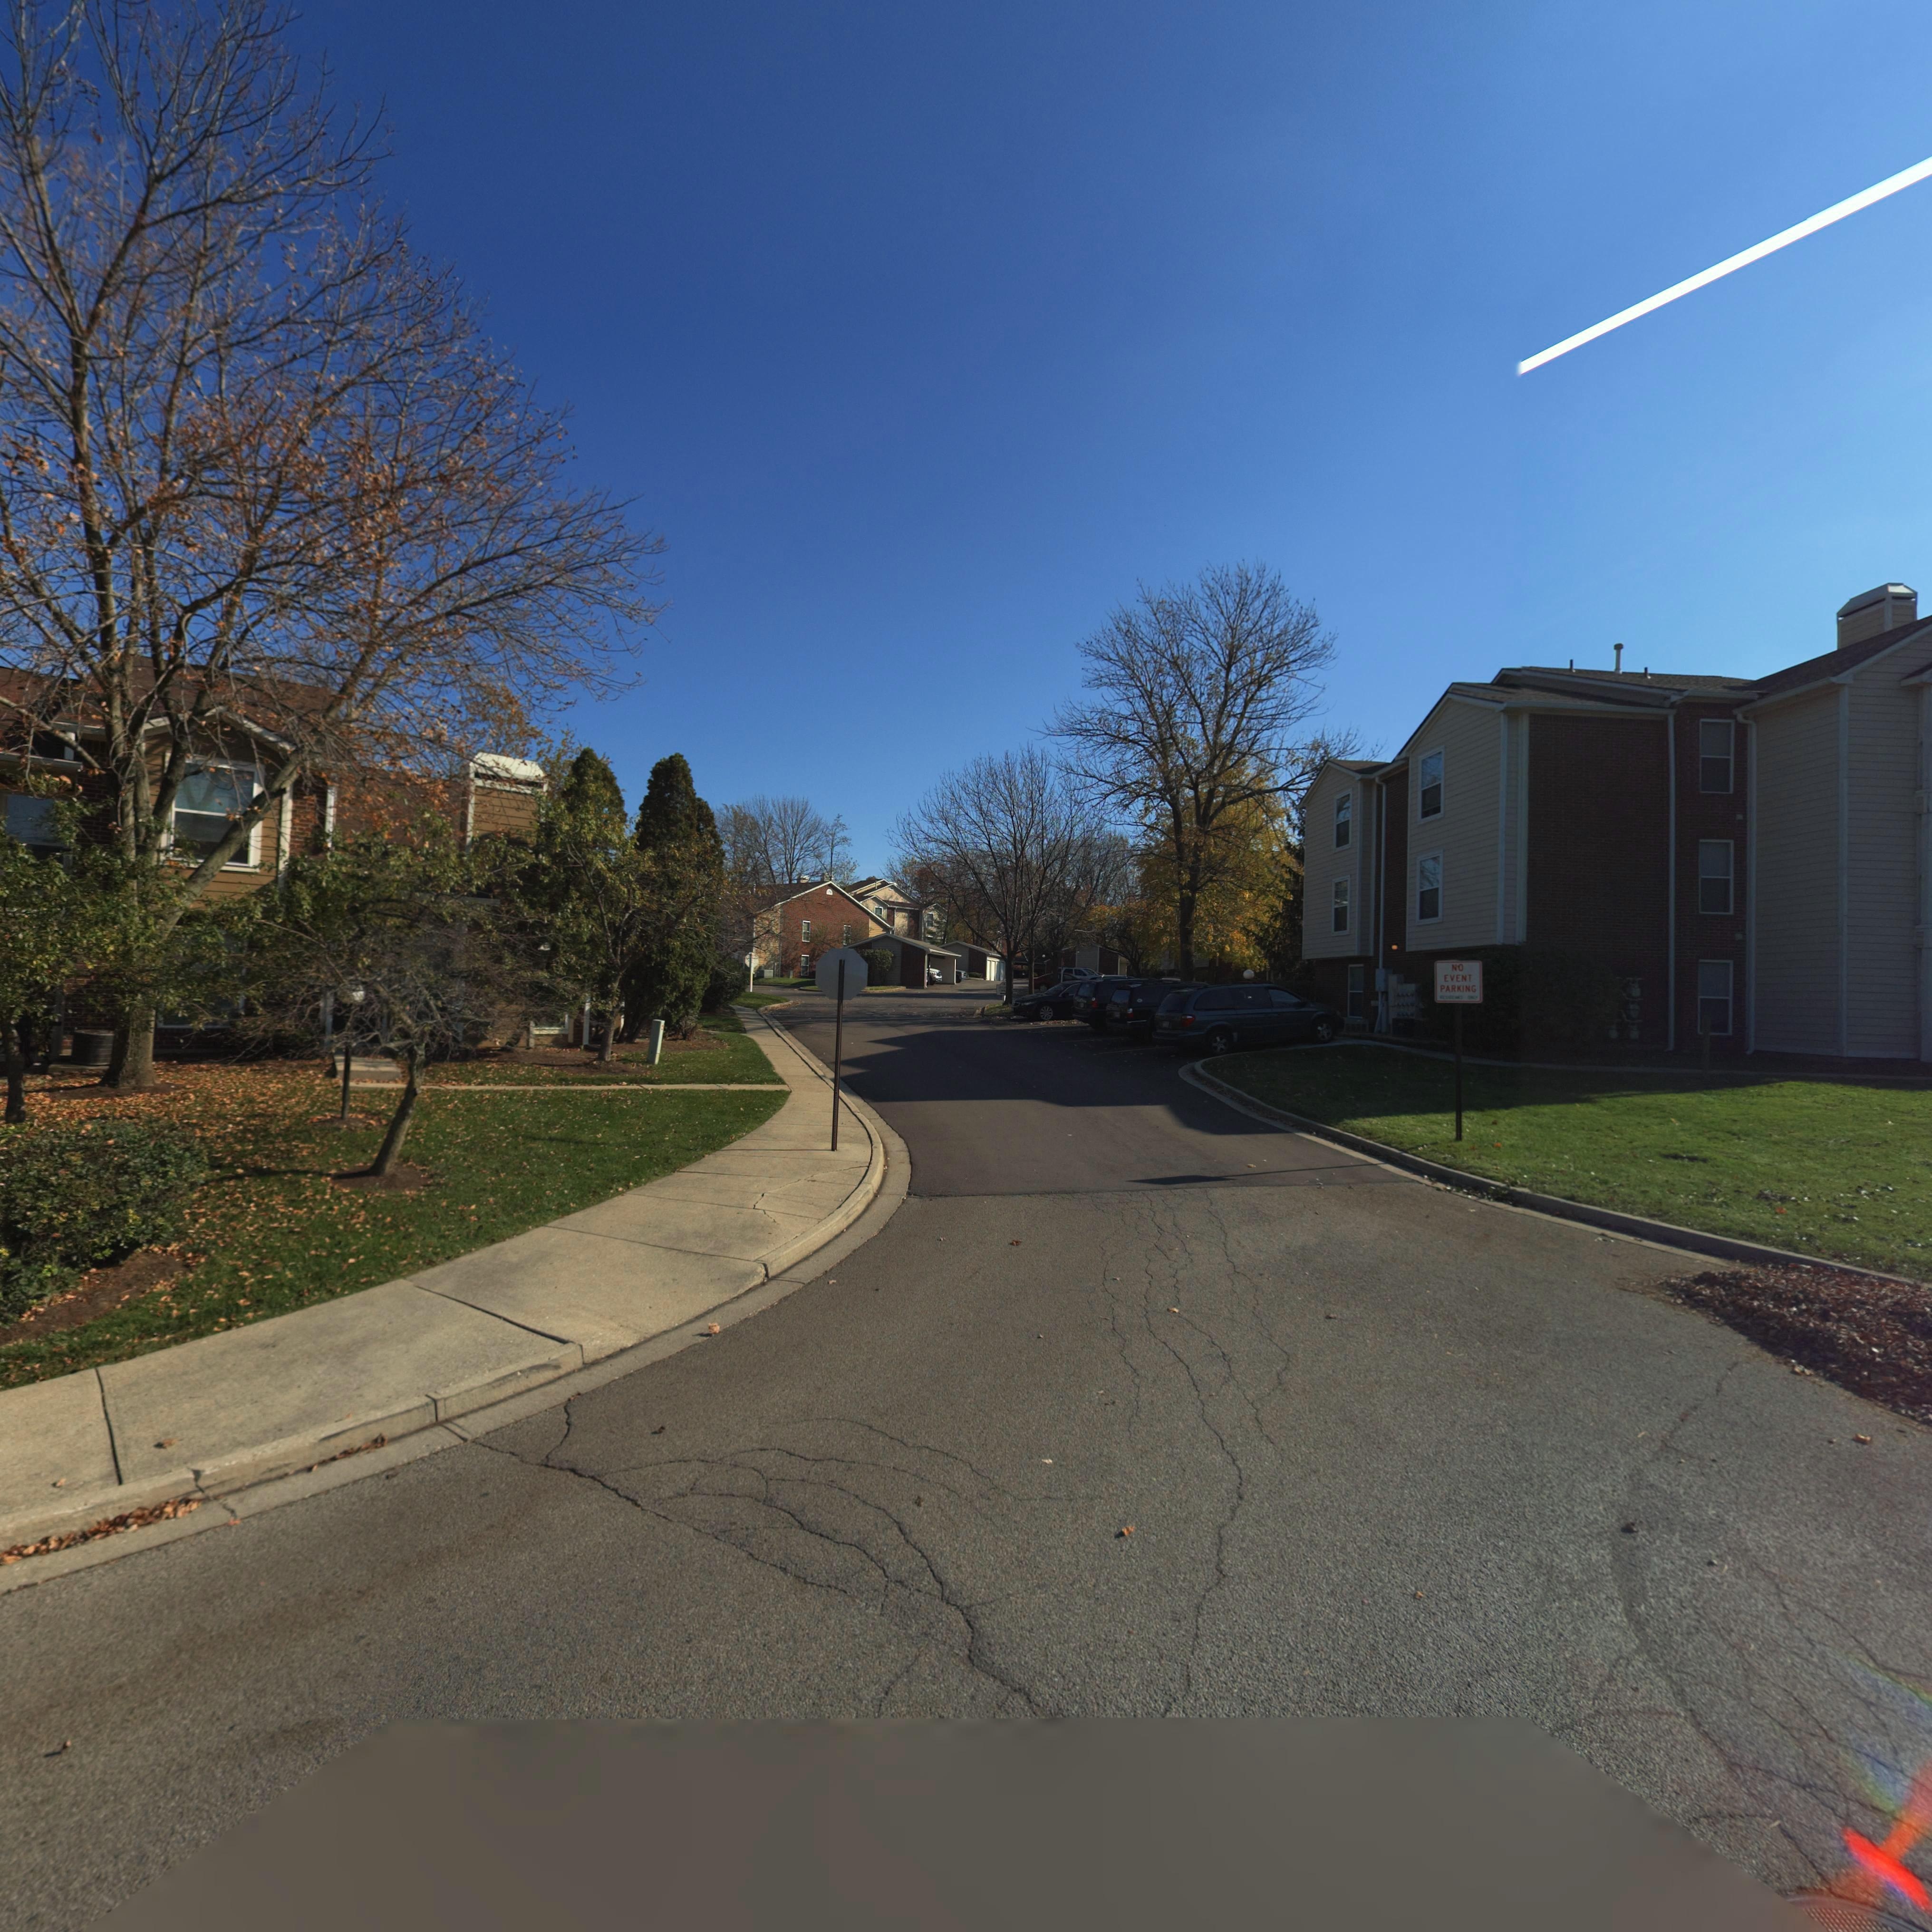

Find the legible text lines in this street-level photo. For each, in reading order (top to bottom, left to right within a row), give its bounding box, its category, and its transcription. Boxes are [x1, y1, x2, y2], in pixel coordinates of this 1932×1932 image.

[1451, 964, 1464, 972] None: NO
[1443, 973, 1472, 982] None: EVENT
[1439, 984, 1476, 993] None: PARKING
[1439, 995, 1478, 1000] None: RESIDENTS ONLY